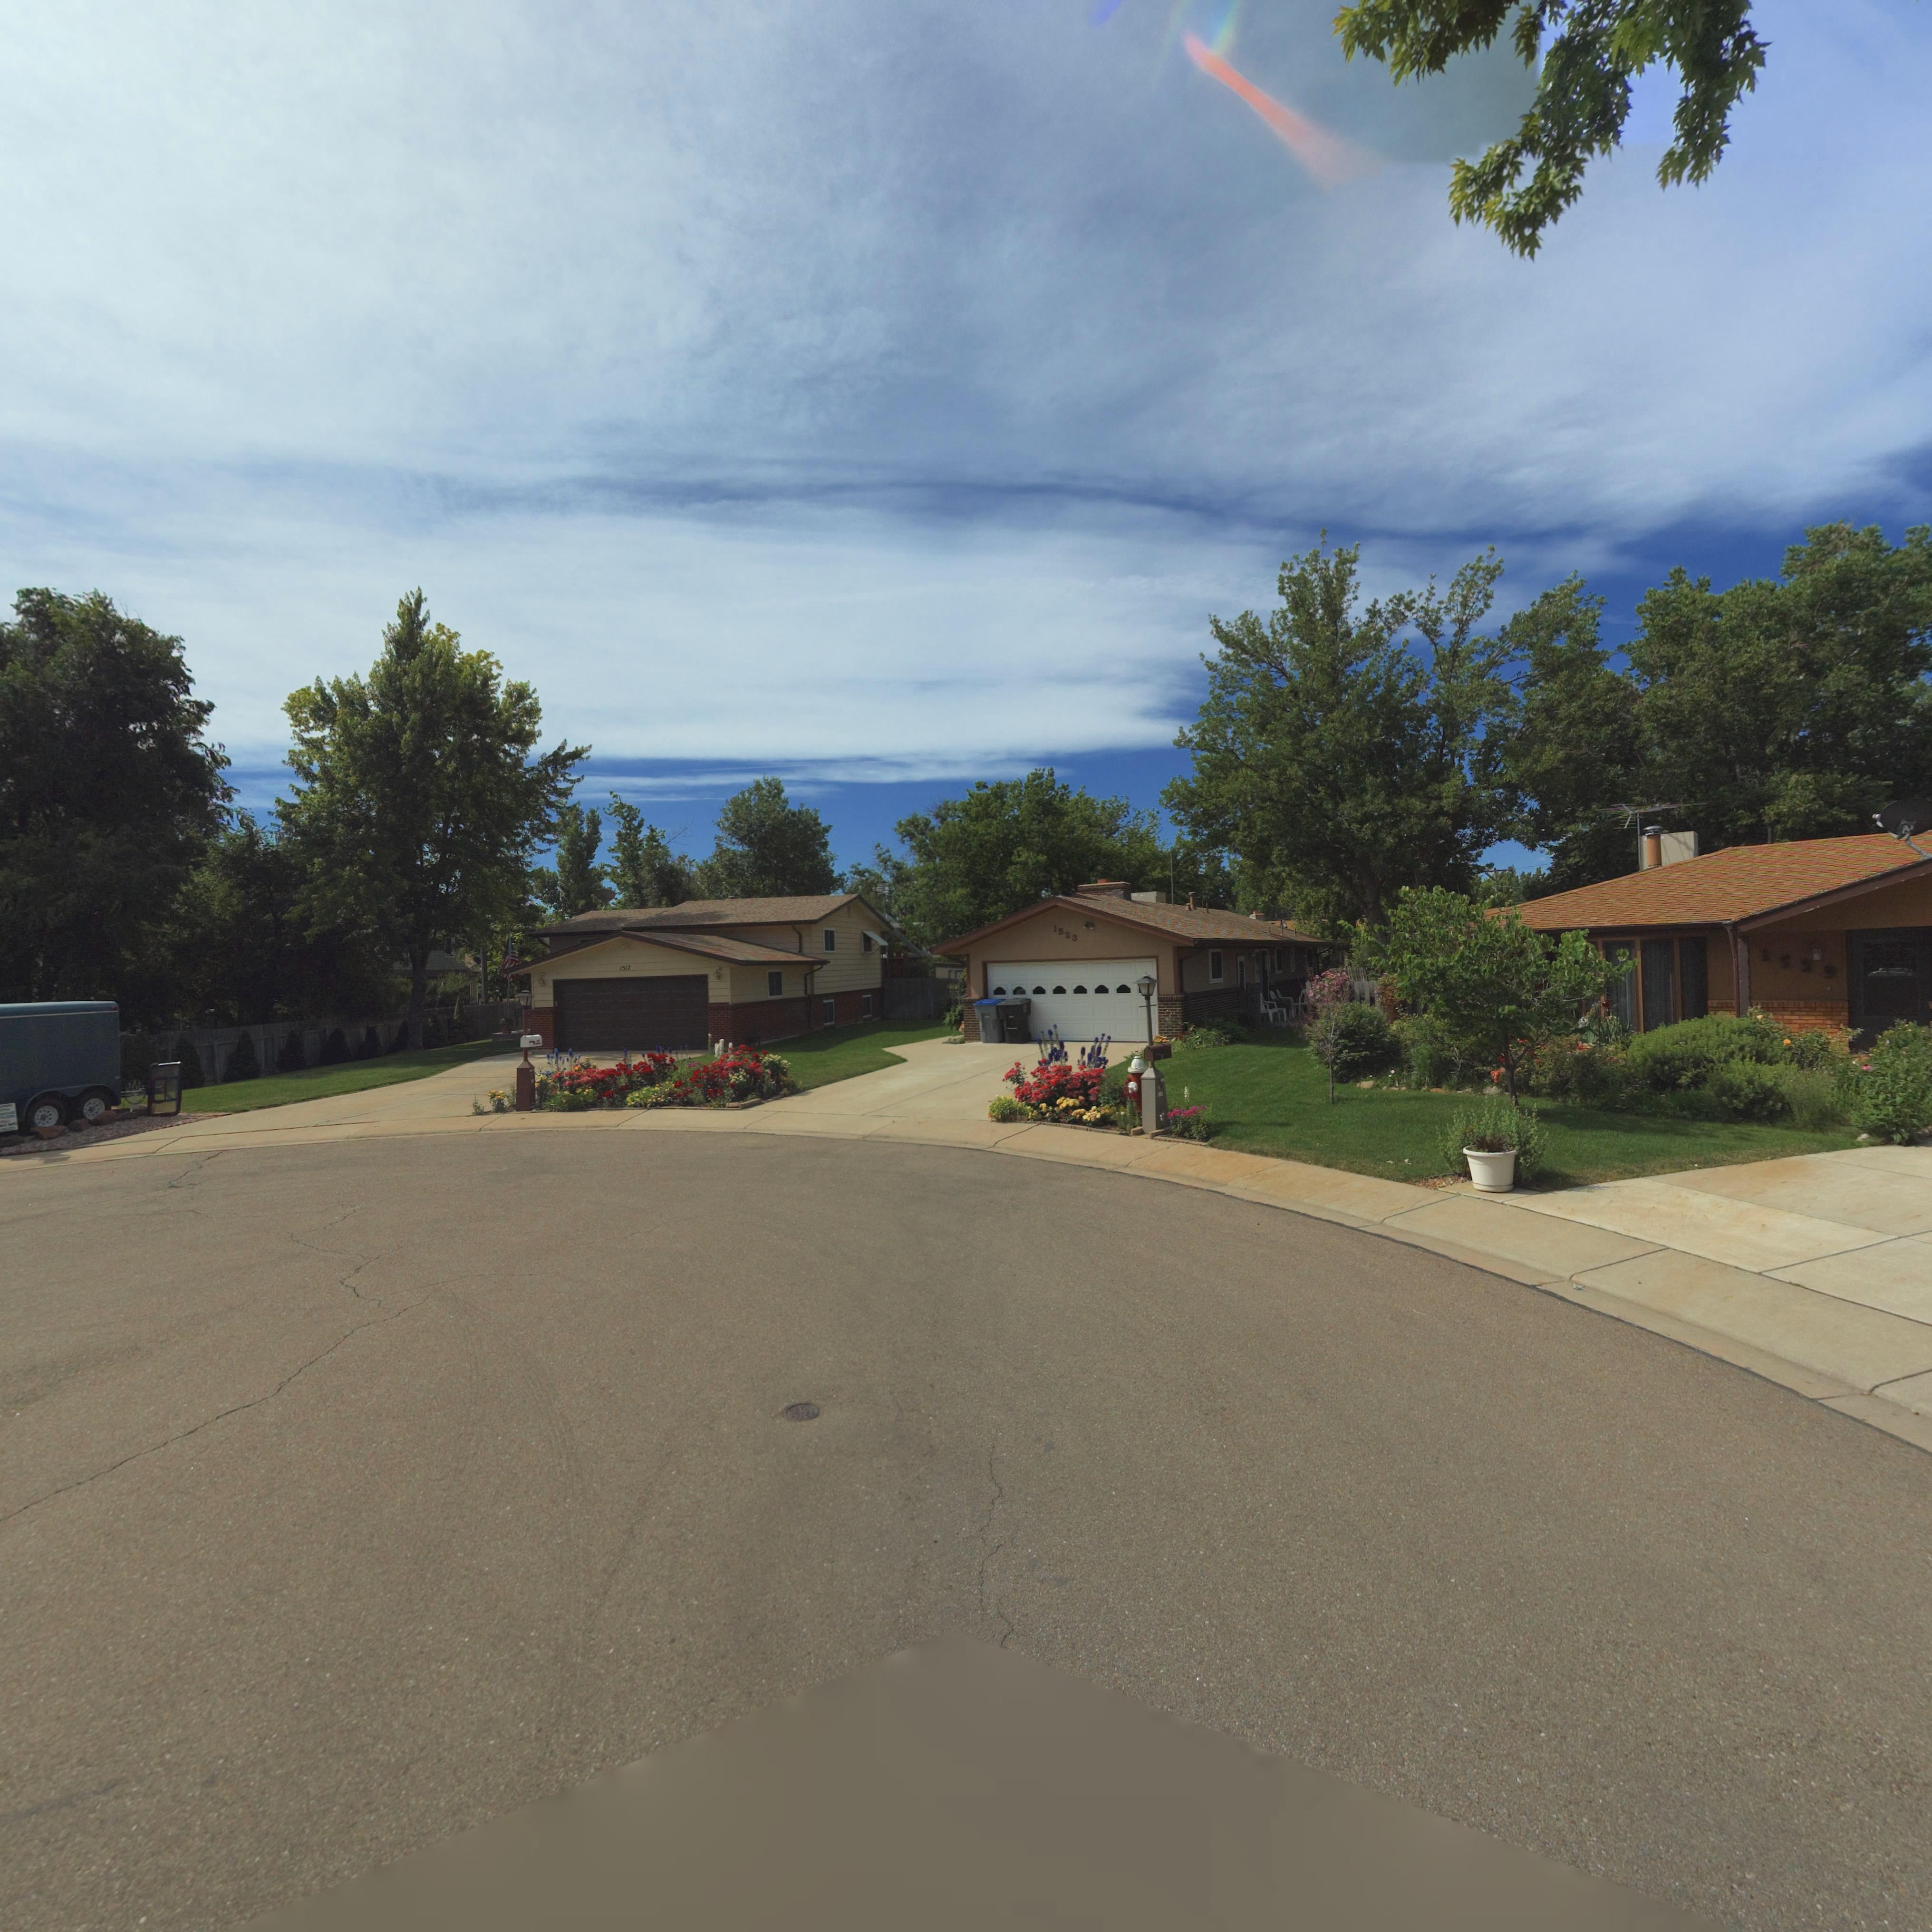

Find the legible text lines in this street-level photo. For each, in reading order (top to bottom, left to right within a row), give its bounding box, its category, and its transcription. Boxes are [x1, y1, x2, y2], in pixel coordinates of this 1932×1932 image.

[1053, 924, 1078, 943] StreetNumber: 1523
[619, 965, 632, 971] StreetNumber: 1517
[1761, 947, 1835, 978] StreetNumber: 1539